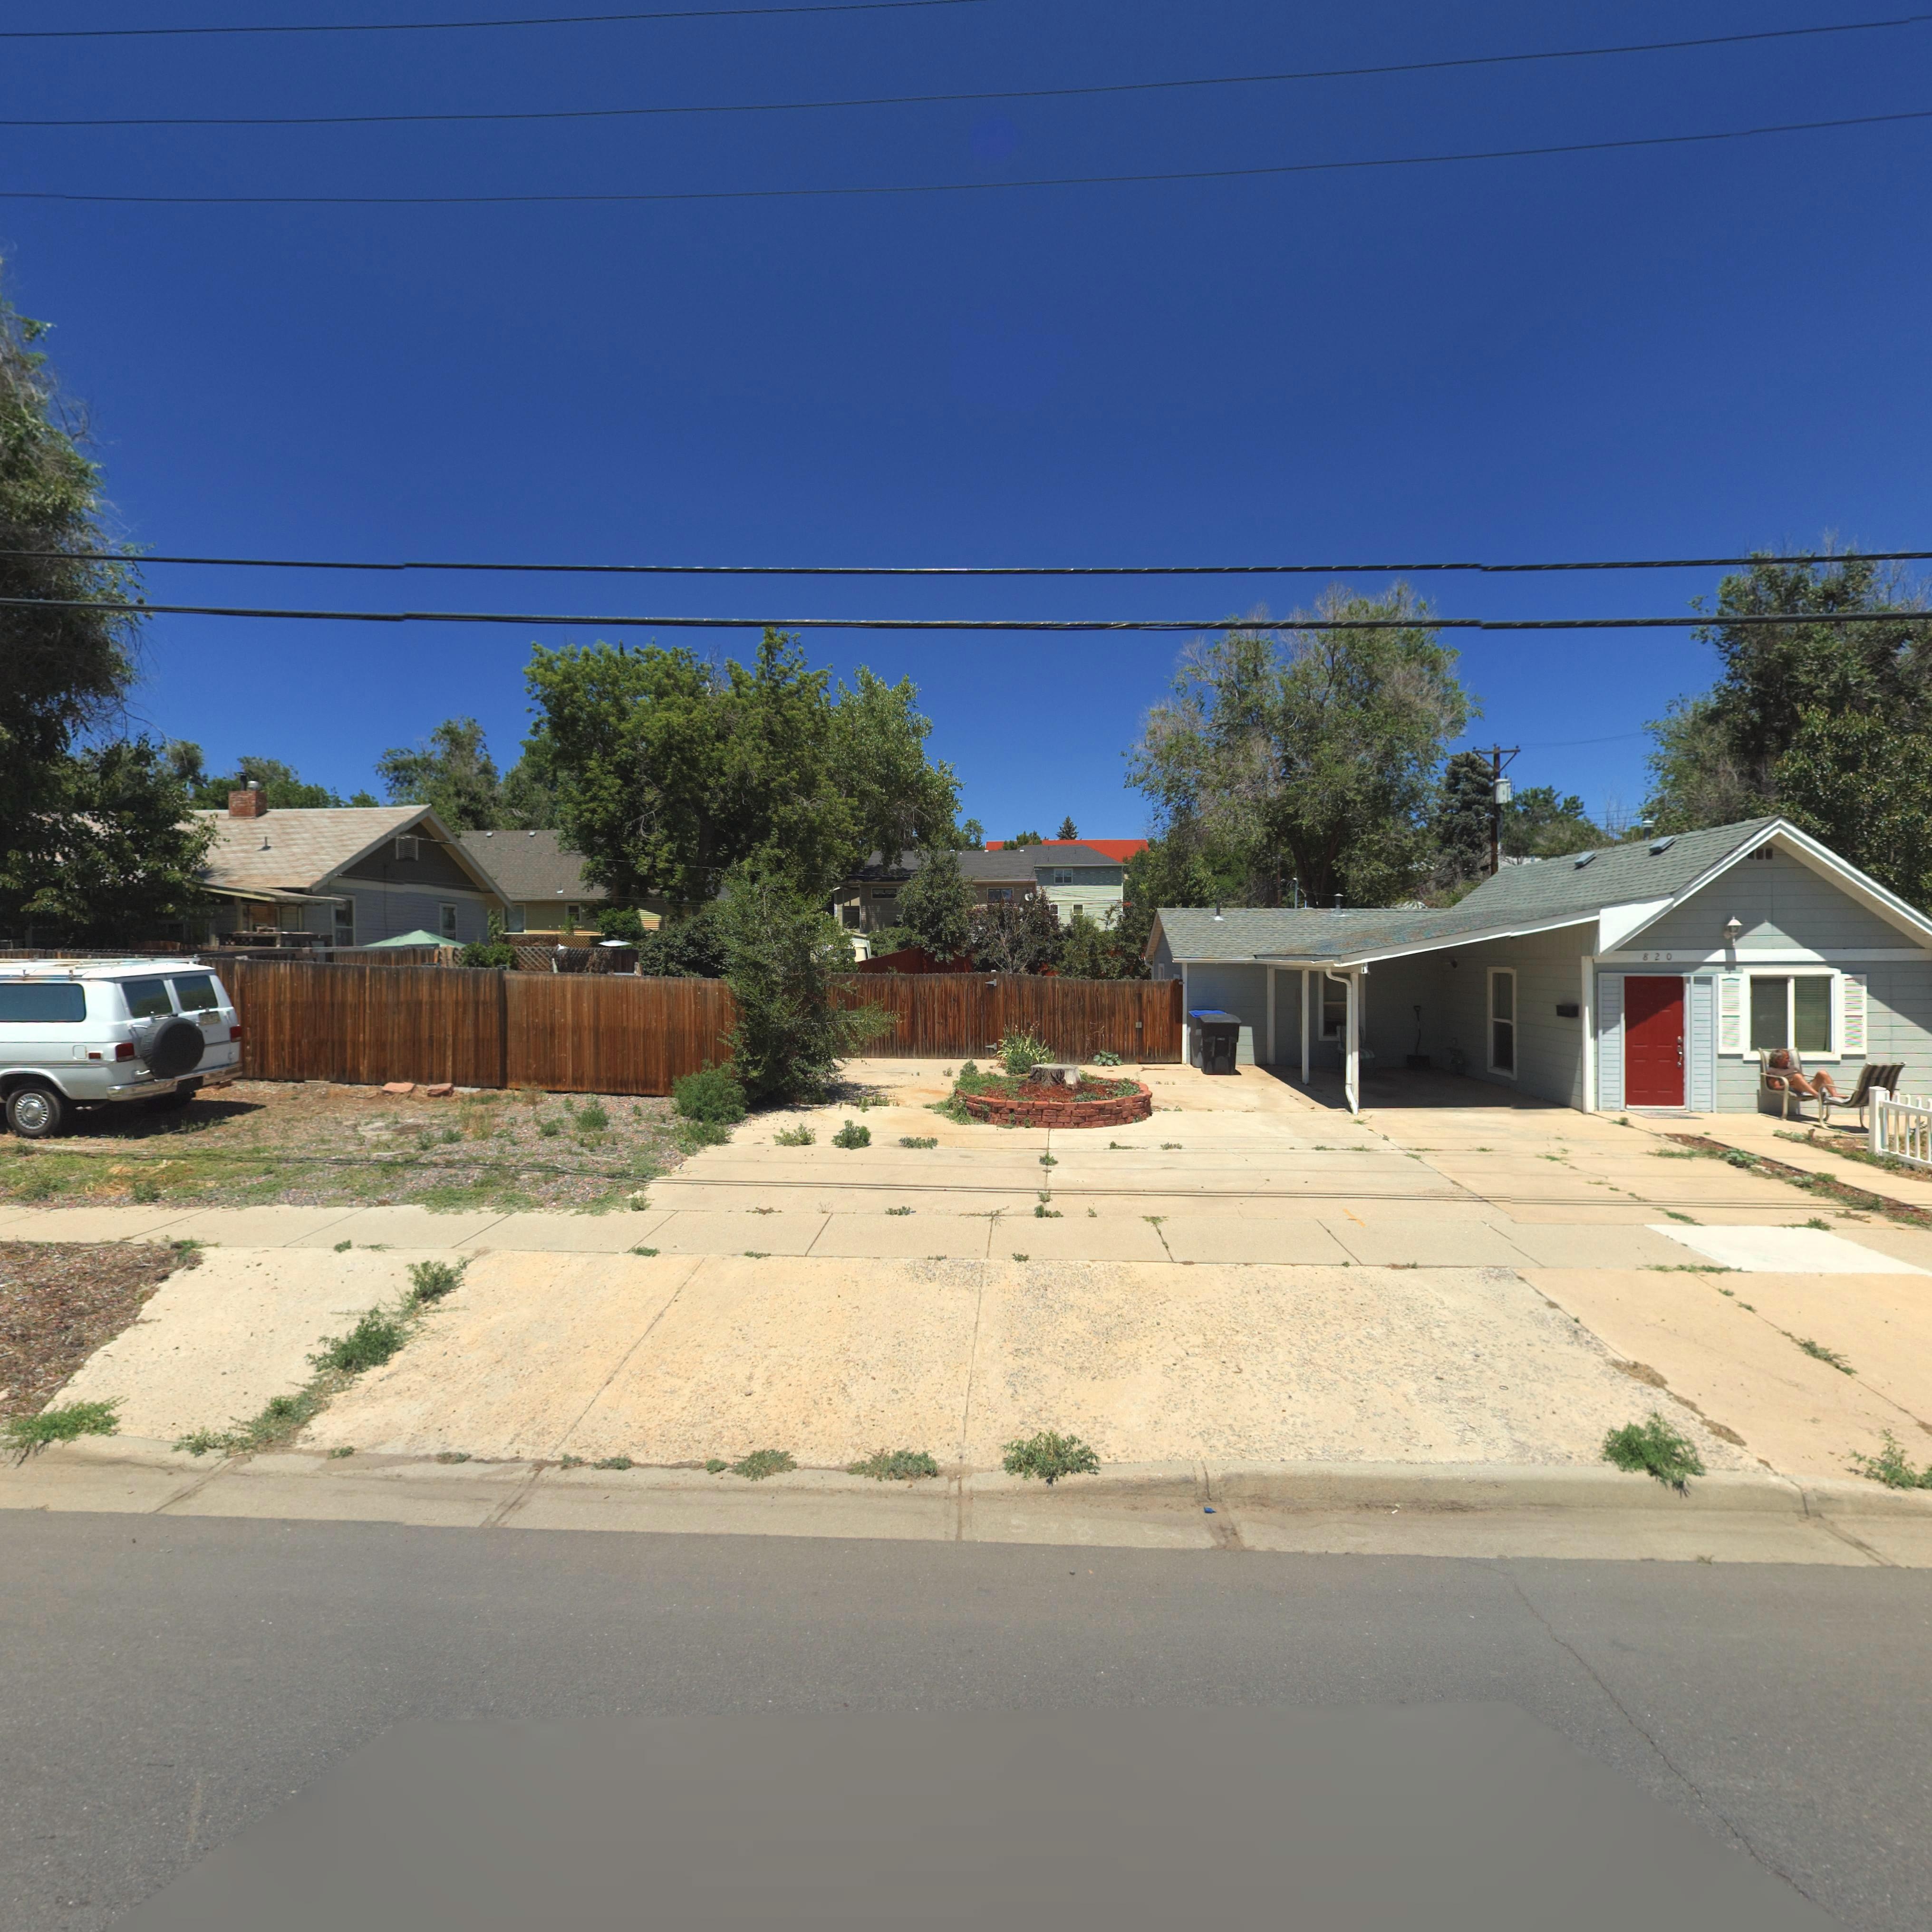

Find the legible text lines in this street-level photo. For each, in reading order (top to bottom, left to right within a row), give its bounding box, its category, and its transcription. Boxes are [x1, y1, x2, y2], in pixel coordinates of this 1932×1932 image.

[1642, 952, 1672, 961] StreetNumber: 820